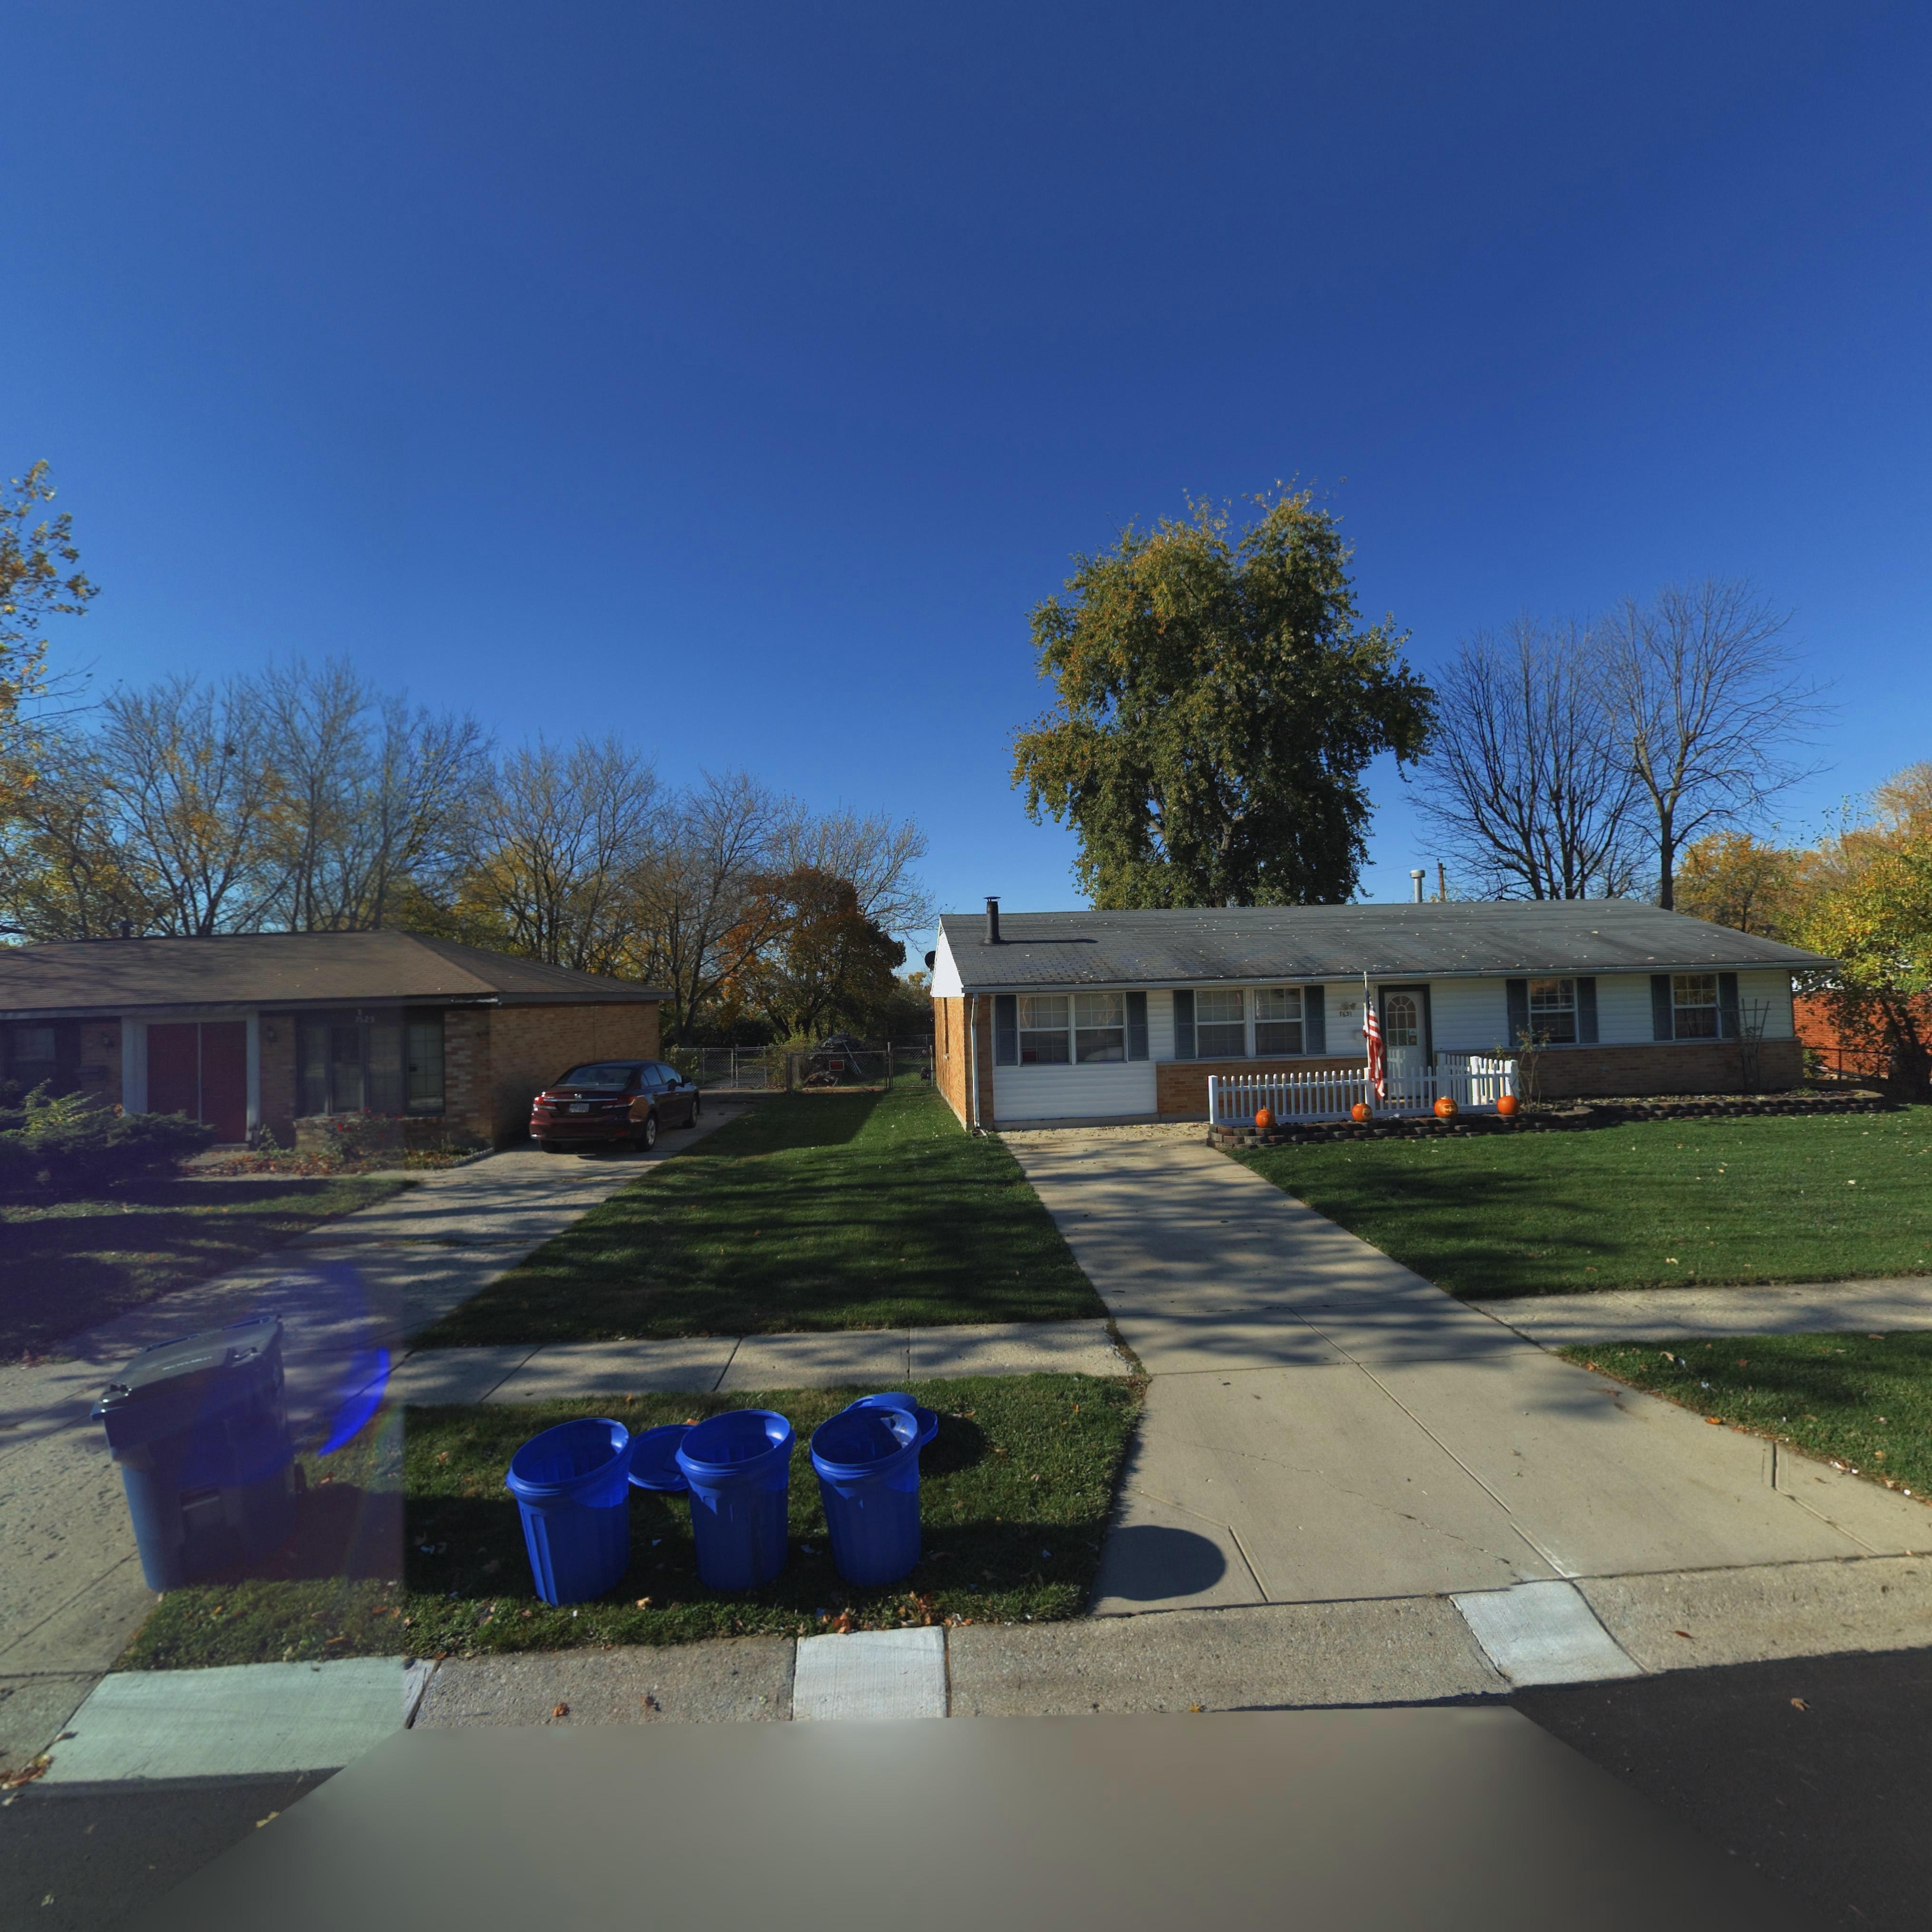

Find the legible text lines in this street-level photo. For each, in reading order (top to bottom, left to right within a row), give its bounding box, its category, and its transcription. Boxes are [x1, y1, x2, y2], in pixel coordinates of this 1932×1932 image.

[351, 1014, 377, 1026] StreetNumber: **25
[1338, 1010, 1353, 1018] StreetNumber: 76*1